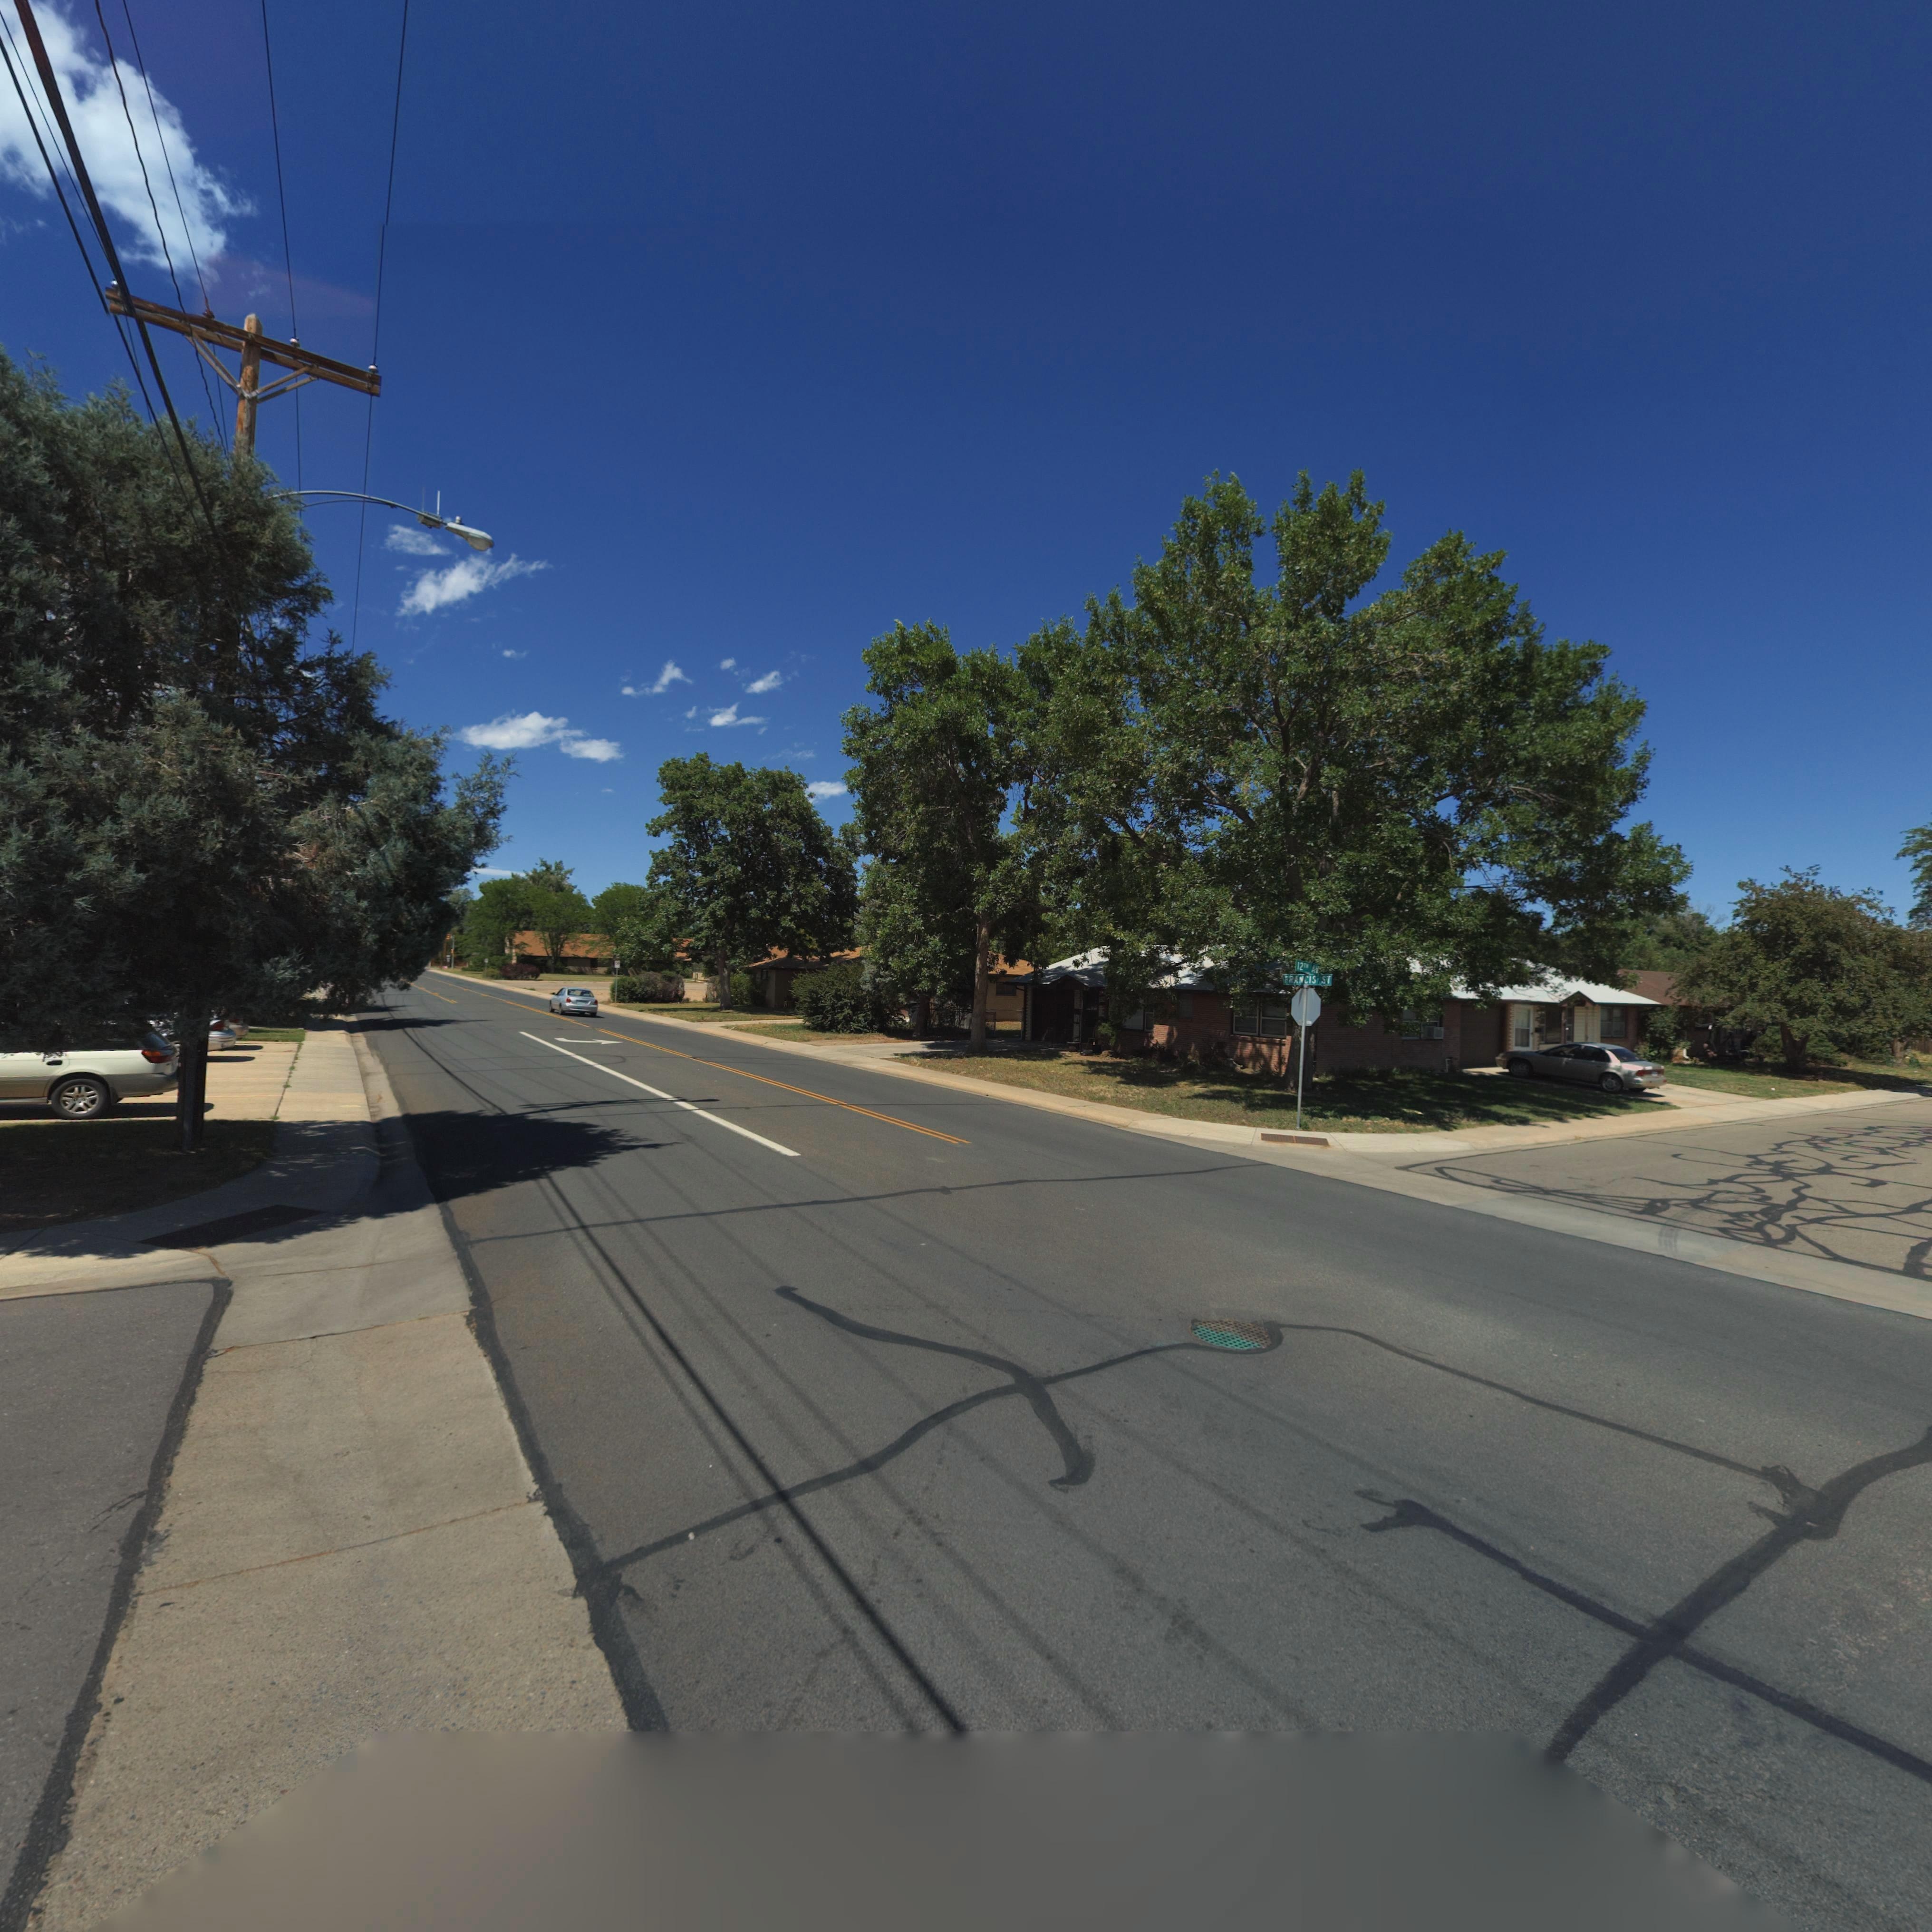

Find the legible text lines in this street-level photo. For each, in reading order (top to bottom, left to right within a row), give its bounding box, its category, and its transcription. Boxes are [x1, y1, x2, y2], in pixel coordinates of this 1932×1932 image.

[1296, 961, 1321, 974] StreetName: 12th AV
[1284, 975, 1332, 984] StreetName: FRANCIS ST